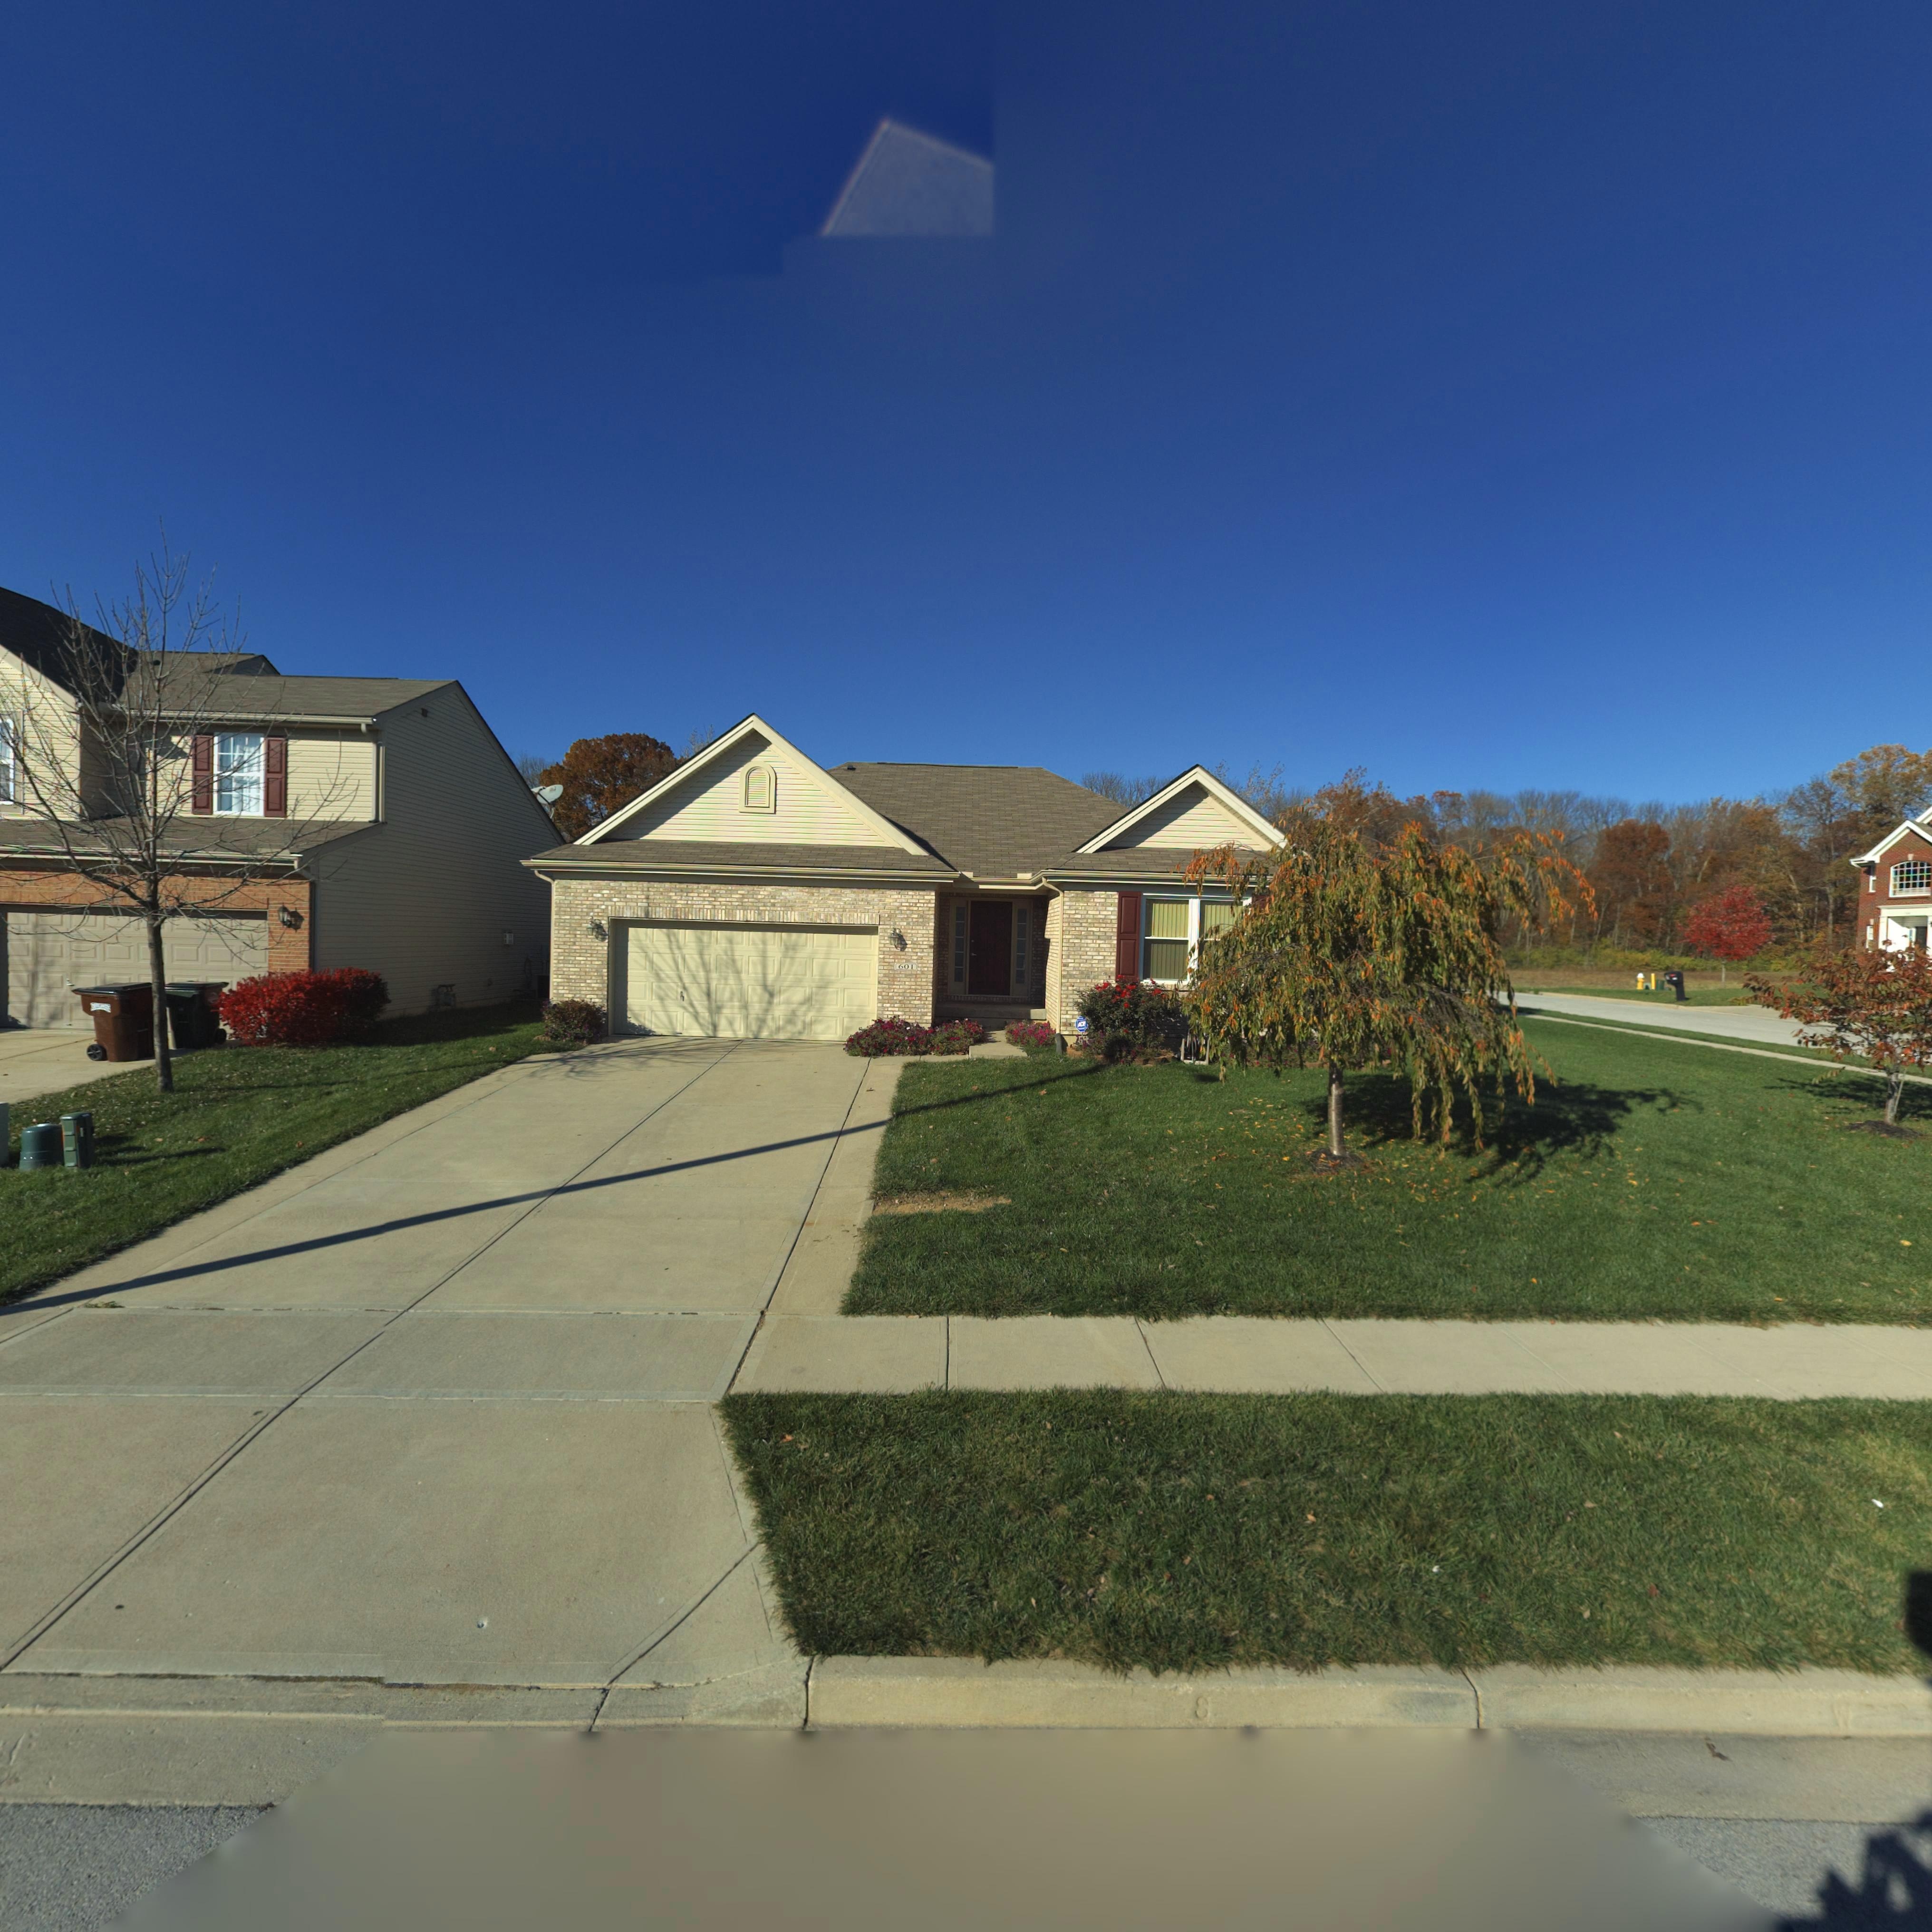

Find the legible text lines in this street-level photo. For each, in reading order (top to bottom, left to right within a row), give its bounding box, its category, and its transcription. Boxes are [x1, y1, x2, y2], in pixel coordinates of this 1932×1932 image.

[898, 964, 913, 969] StreetNumber: 601